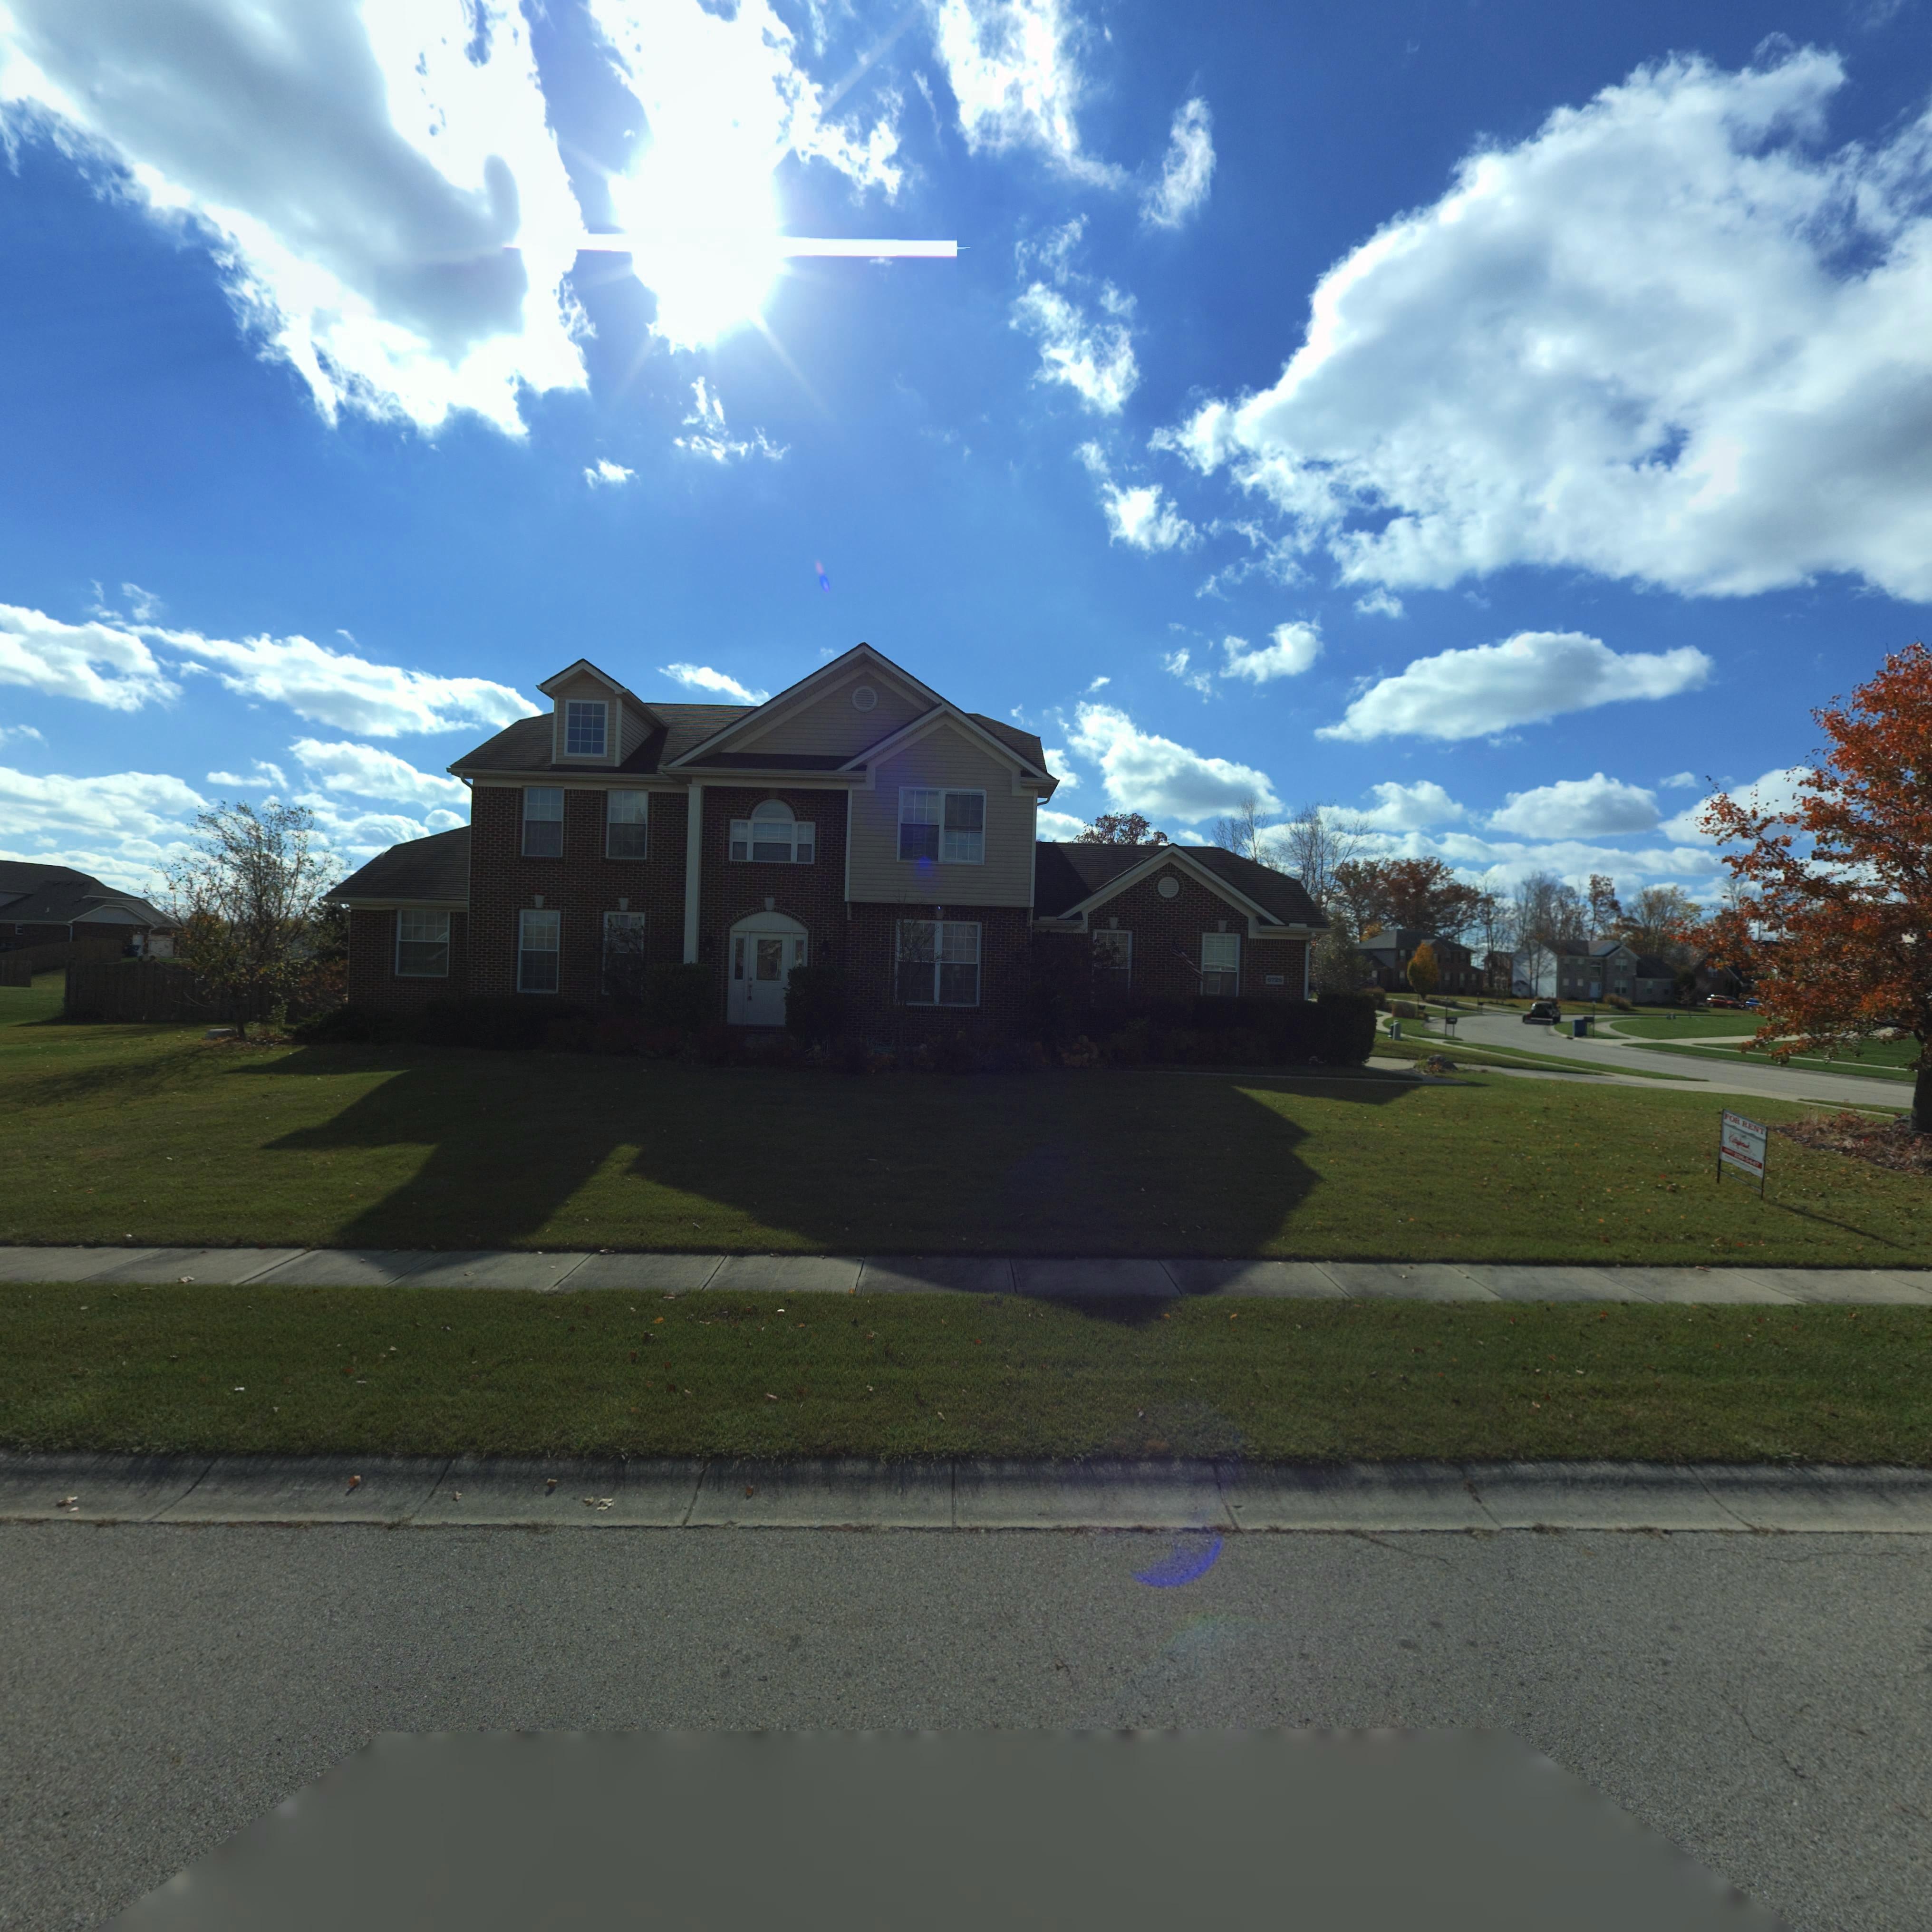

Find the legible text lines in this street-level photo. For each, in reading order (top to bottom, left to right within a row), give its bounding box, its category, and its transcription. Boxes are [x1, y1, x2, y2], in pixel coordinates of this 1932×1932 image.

[1266, 976, 1283, 984] StreetNumber: 6728